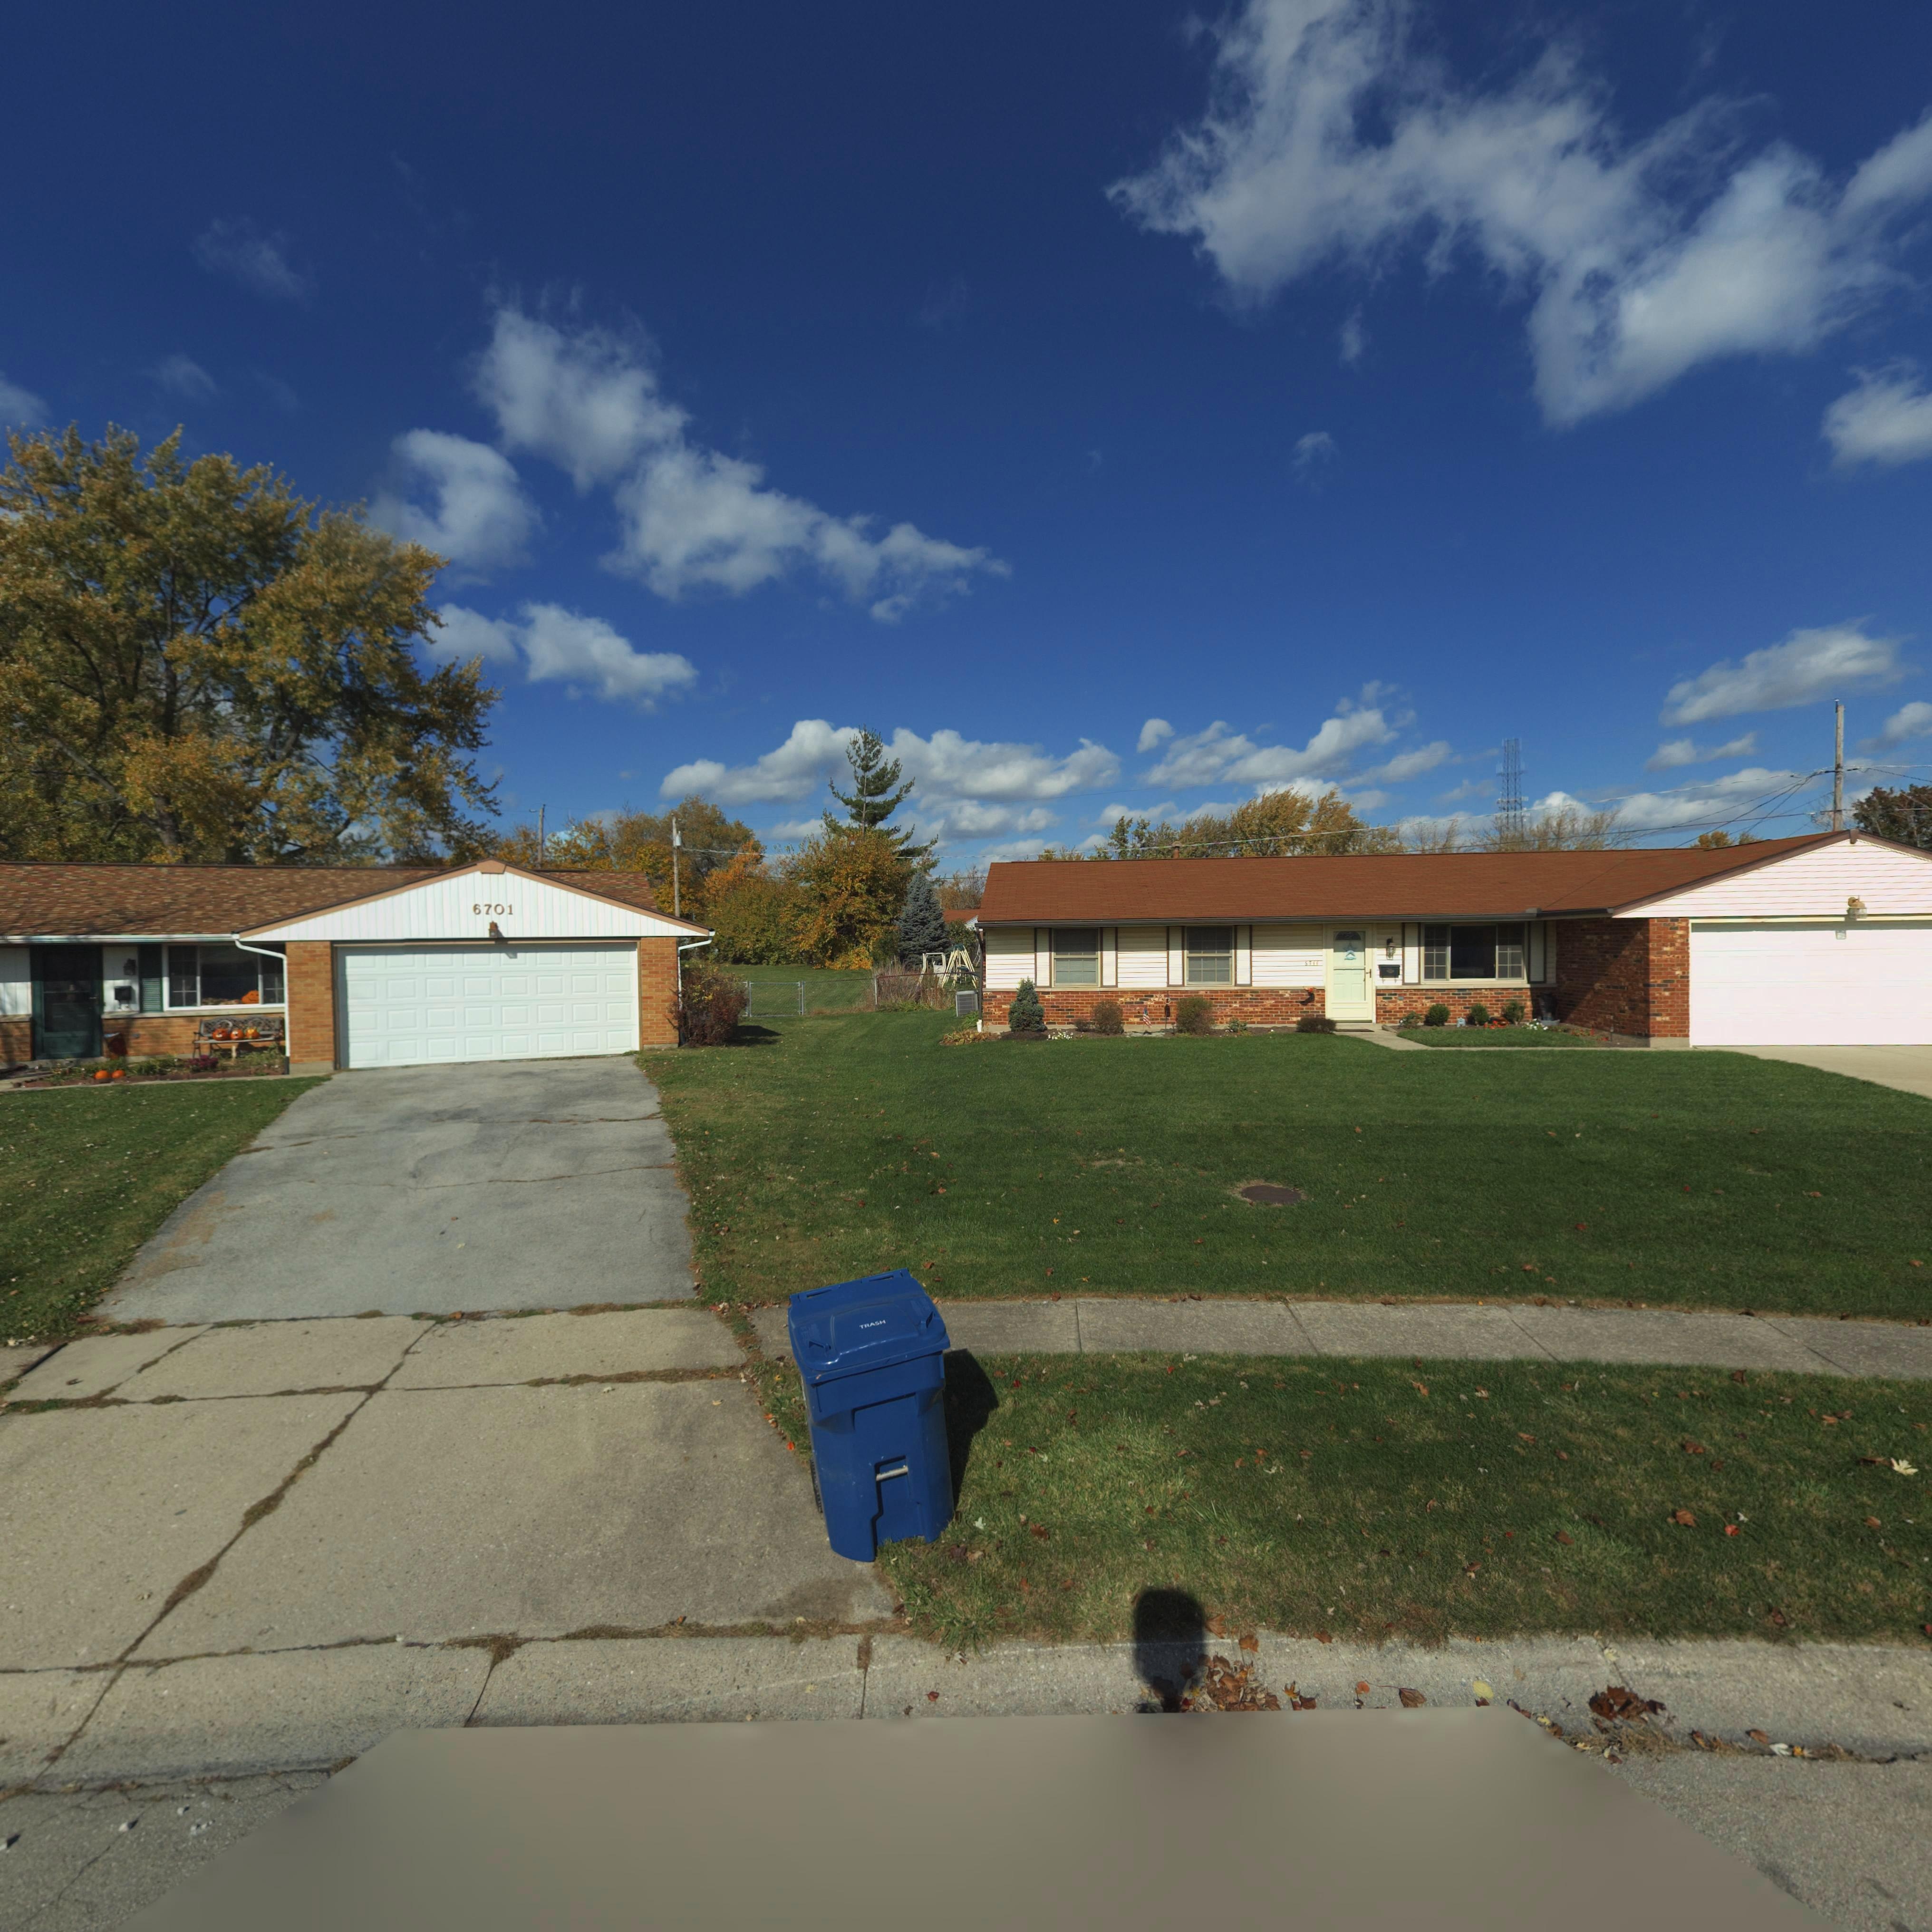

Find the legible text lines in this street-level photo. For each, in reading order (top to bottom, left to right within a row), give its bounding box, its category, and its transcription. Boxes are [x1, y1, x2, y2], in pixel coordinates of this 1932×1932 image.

[473, 903, 513, 915] StreetNumber: 6701
[1304, 960, 1319, 966] StreetNumber: 6711